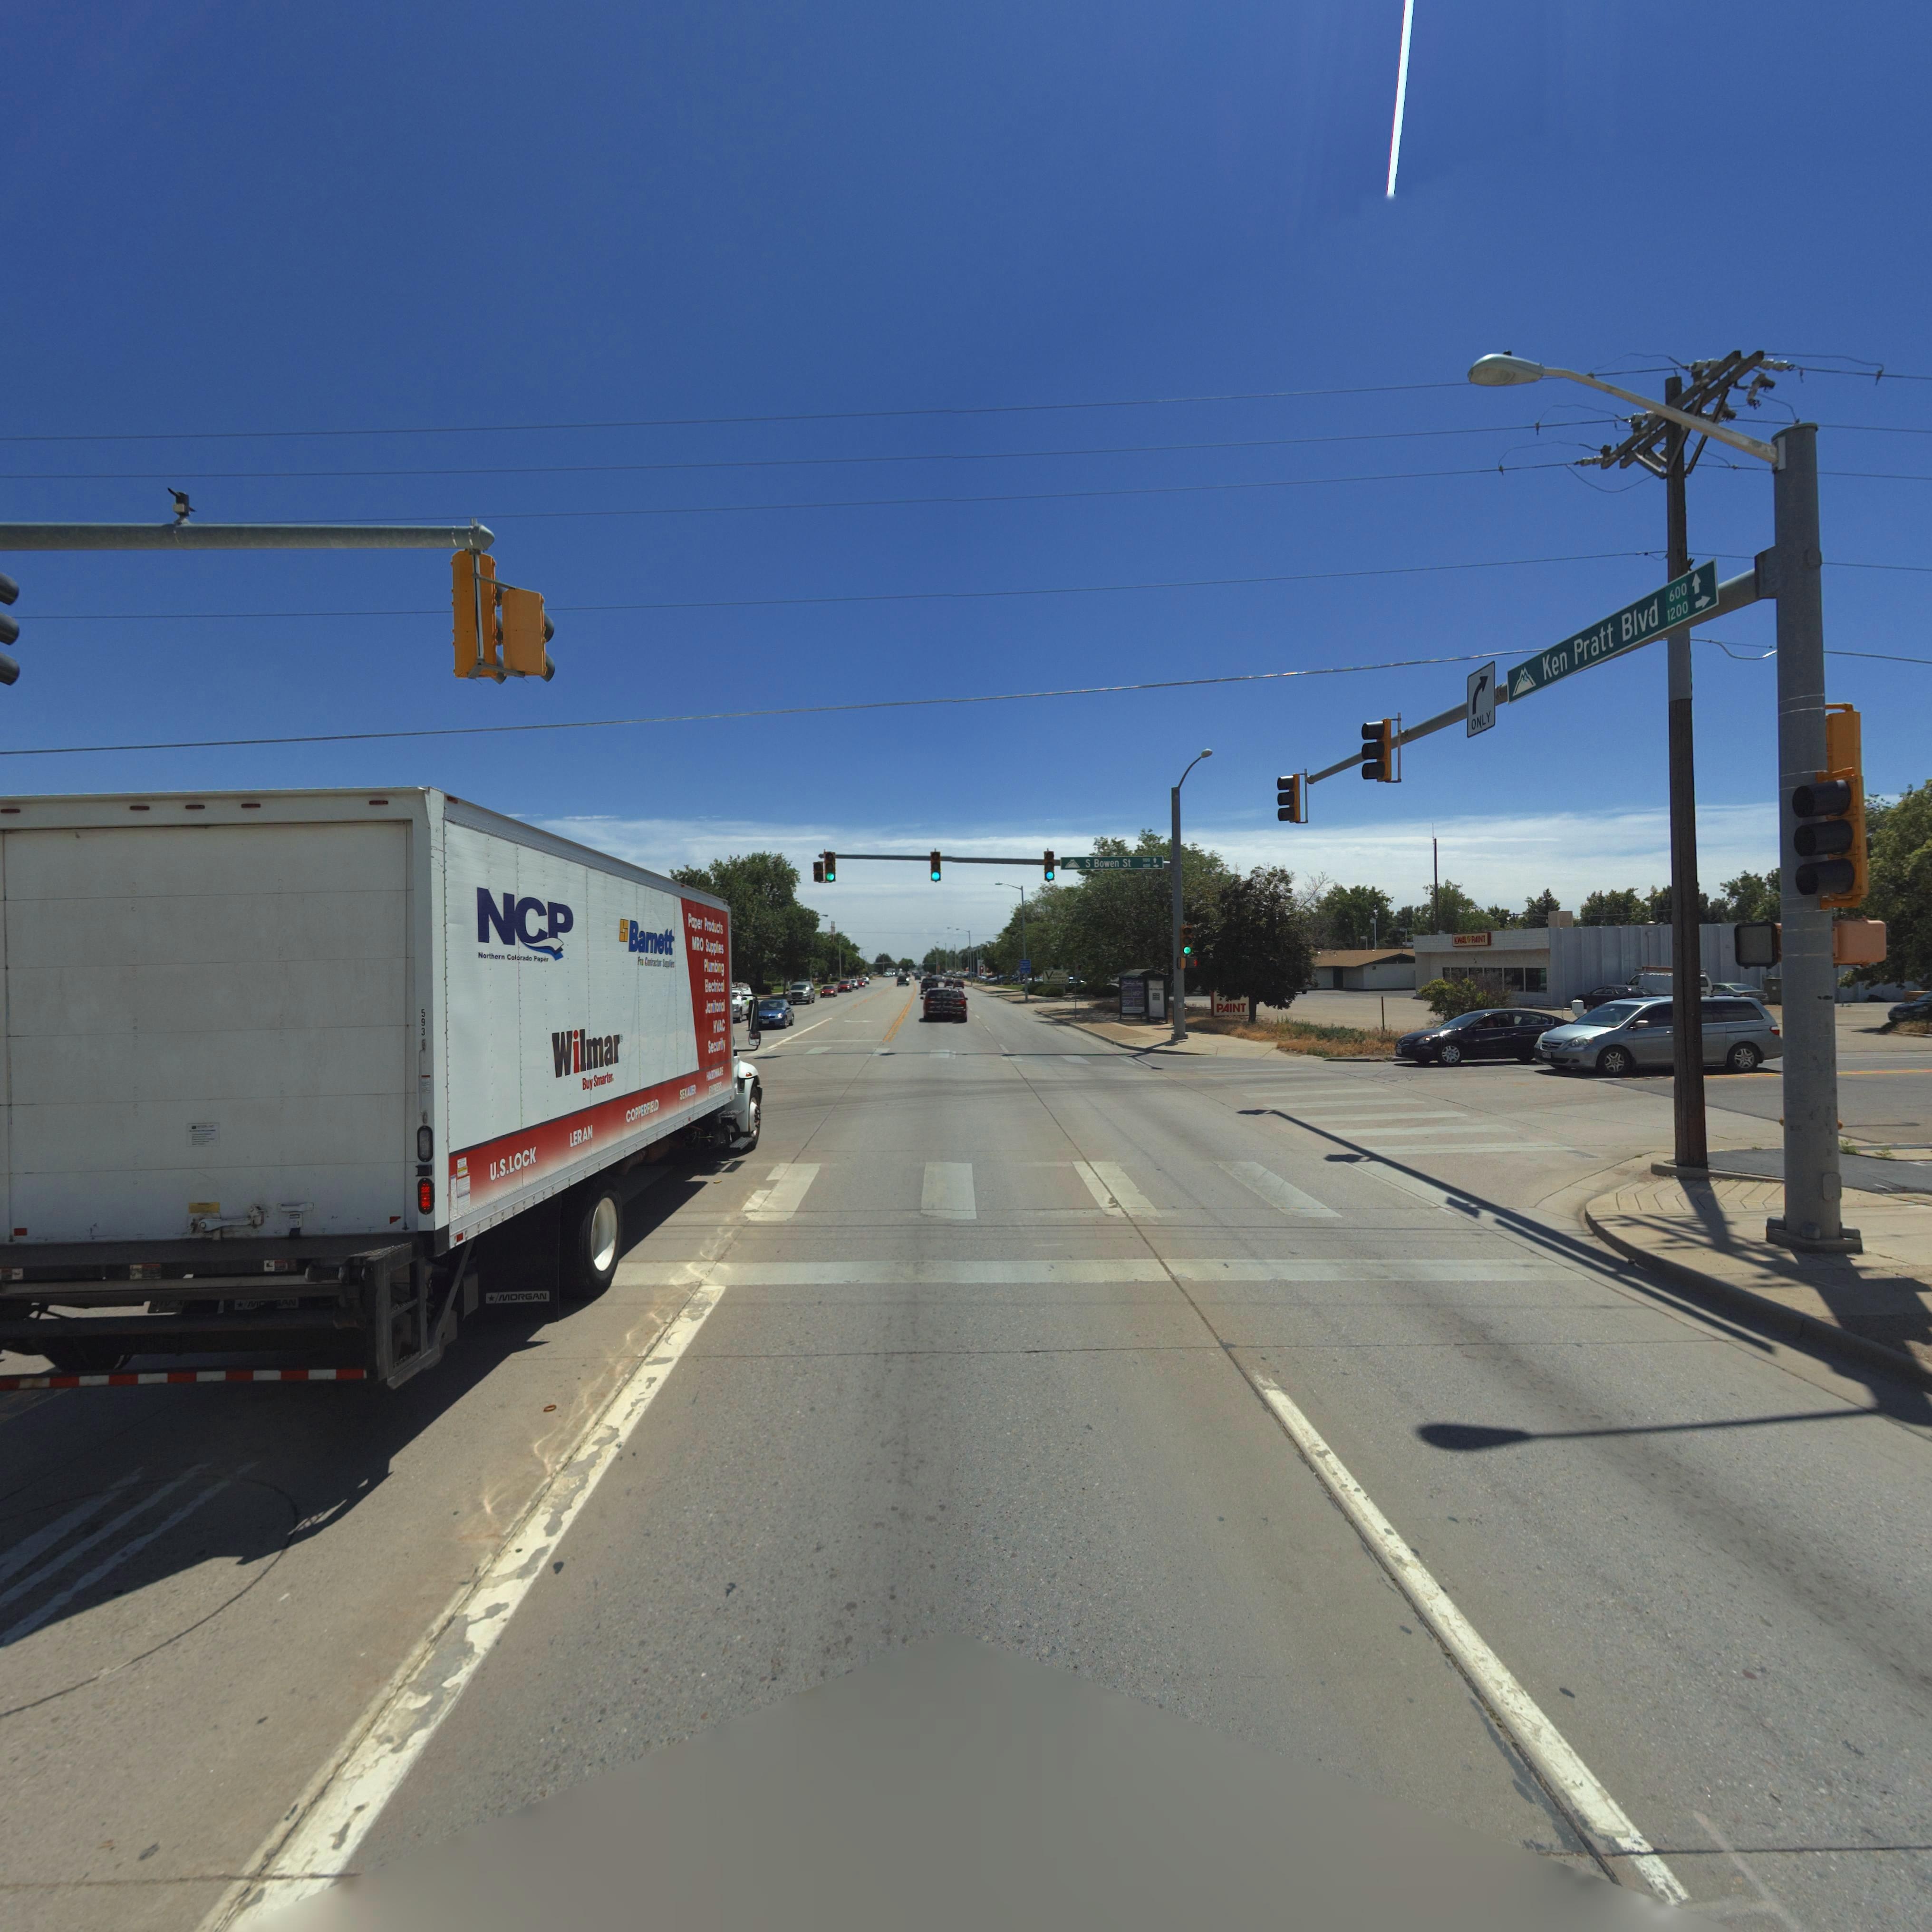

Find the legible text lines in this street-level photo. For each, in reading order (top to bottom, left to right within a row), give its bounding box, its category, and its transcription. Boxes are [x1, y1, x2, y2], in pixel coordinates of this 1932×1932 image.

[1669, 582, 1688, 602] StreetNumberRange: 600
[1666, 594, 1712, 622] StreetNumberRange: 1200->
[1541, 596, 1660, 681] StreetName: Ken Pratt Blvd
[1085, 858, 1131, 868] StreetName: S Bowen St
[1142, 857, 1151, 862] StreetNumberRange: 100
[1142, 863, 1160, 868] StreetNumberRange: *00->
[1454, 935, 1485, 944] BusinessName: KWAL * PAINT
[1044, 971, 1054, 980] BusinessName: V
[1053, 971, 1063, 976] BusinessName: alley
[1050, 976, 1068, 980] BusinessName: *t*r***ry
[1216, 1003, 1246, 1013] BusinessName: PAINT